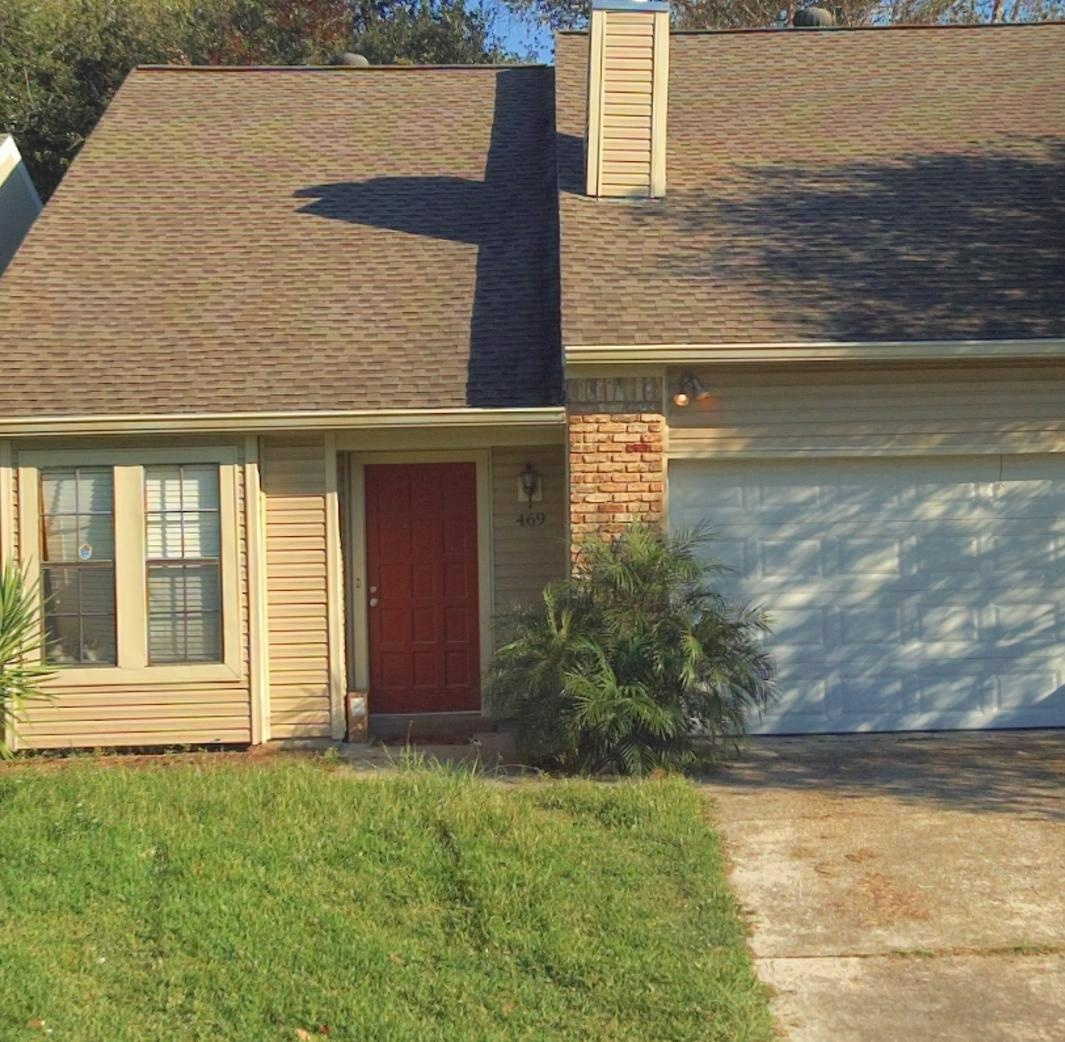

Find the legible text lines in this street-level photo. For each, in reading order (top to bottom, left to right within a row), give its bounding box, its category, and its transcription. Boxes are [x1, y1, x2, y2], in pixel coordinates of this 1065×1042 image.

[516, 511, 546, 527] StreetNumber: 469